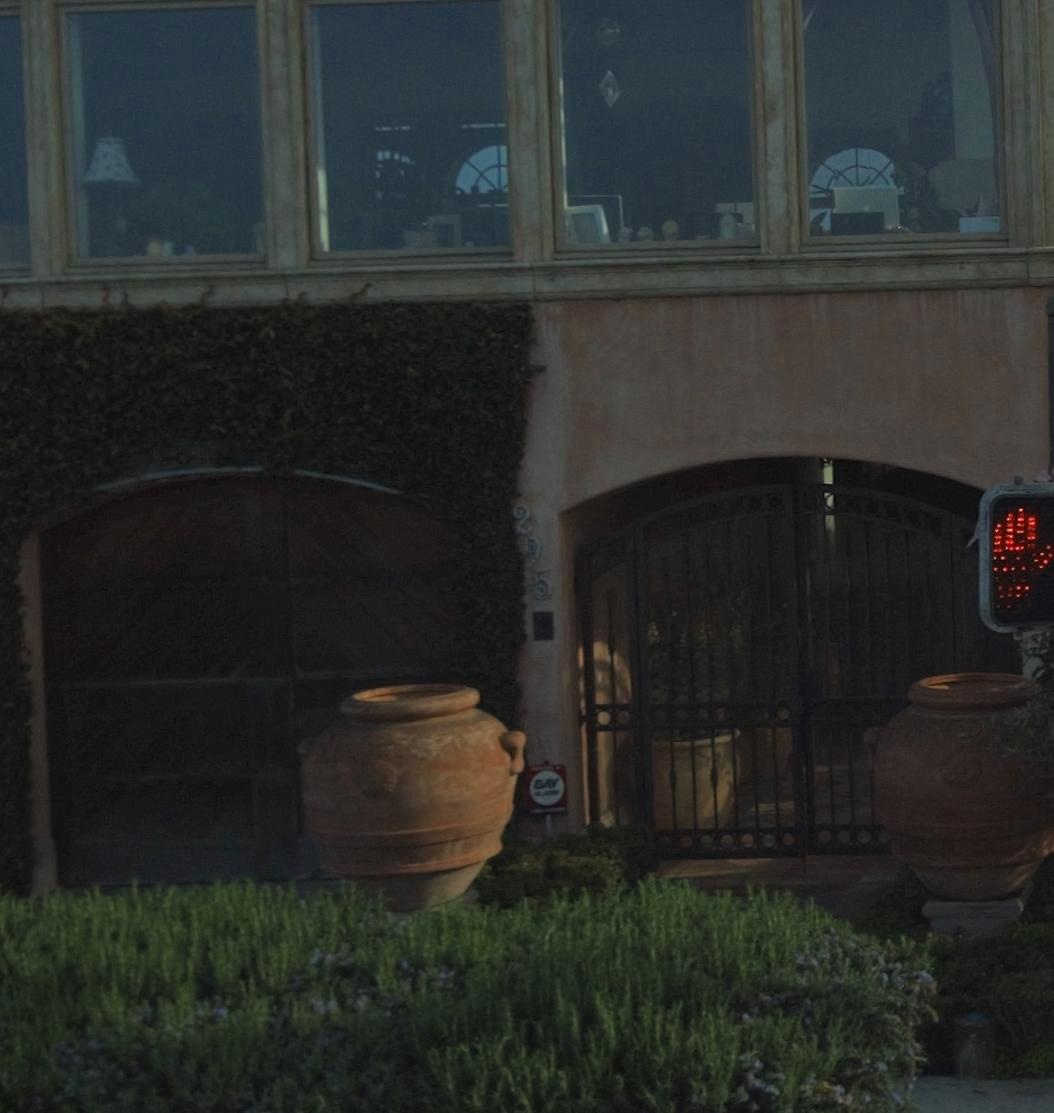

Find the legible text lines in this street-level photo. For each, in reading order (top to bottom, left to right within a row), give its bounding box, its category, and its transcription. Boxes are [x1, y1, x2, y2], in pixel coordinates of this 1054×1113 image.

[507, 502, 554, 604] StreetNumber: 295
[531, 776, 563, 792] None: BAY